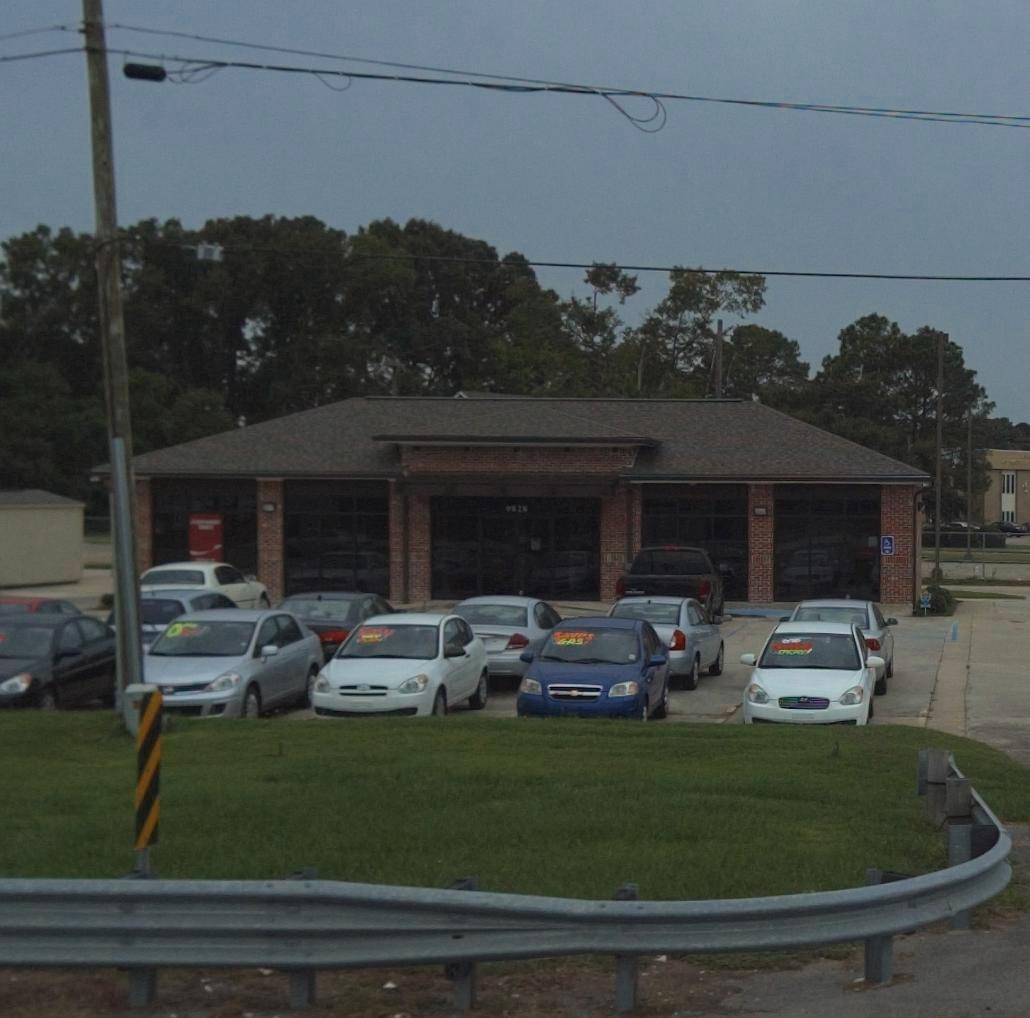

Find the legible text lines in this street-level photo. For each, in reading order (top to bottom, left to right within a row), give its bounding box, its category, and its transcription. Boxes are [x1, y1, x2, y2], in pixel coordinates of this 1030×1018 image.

[504, 504, 529, 513] StreetNumber: 9828